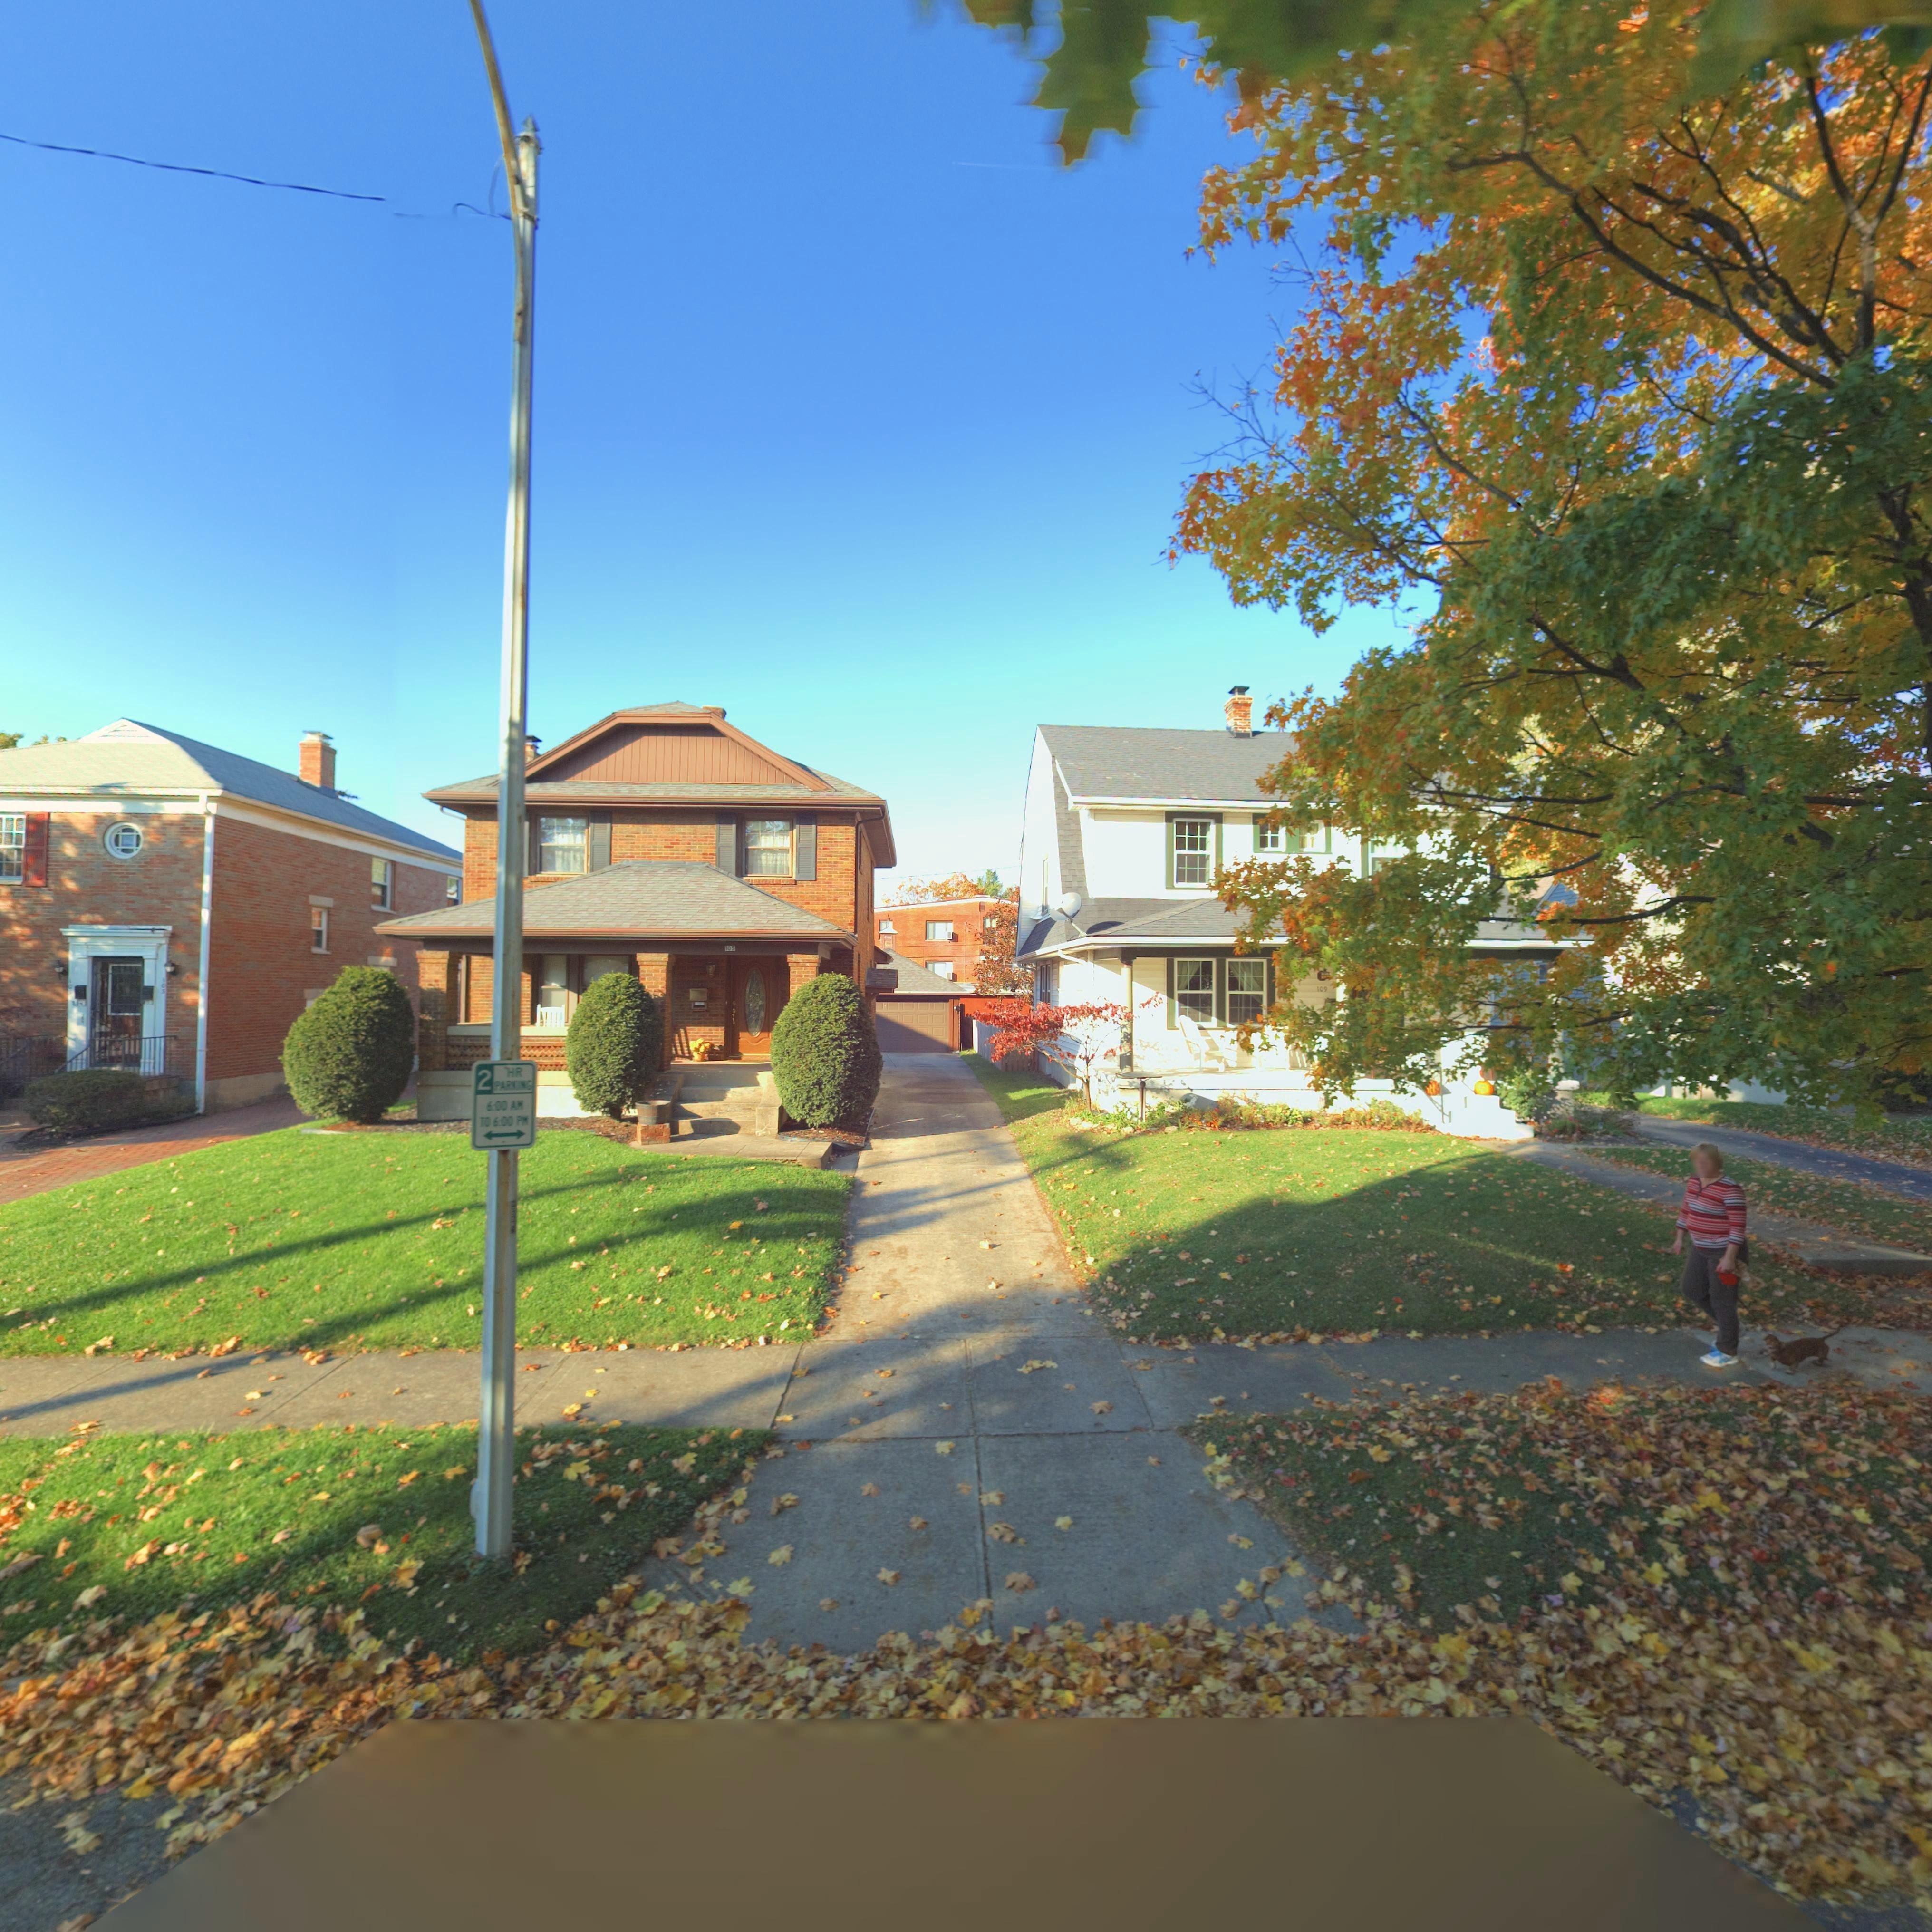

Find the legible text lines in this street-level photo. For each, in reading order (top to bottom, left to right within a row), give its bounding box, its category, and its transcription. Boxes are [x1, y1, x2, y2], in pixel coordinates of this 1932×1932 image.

[724, 946, 735, 951] StreetNumber: 105
[68, 978, 72, 994] StreetNumber: 101
[161, 977, 166, 994] StreetNumber: 103
[1316, 986, 1327, 992] StreetNumber: 109